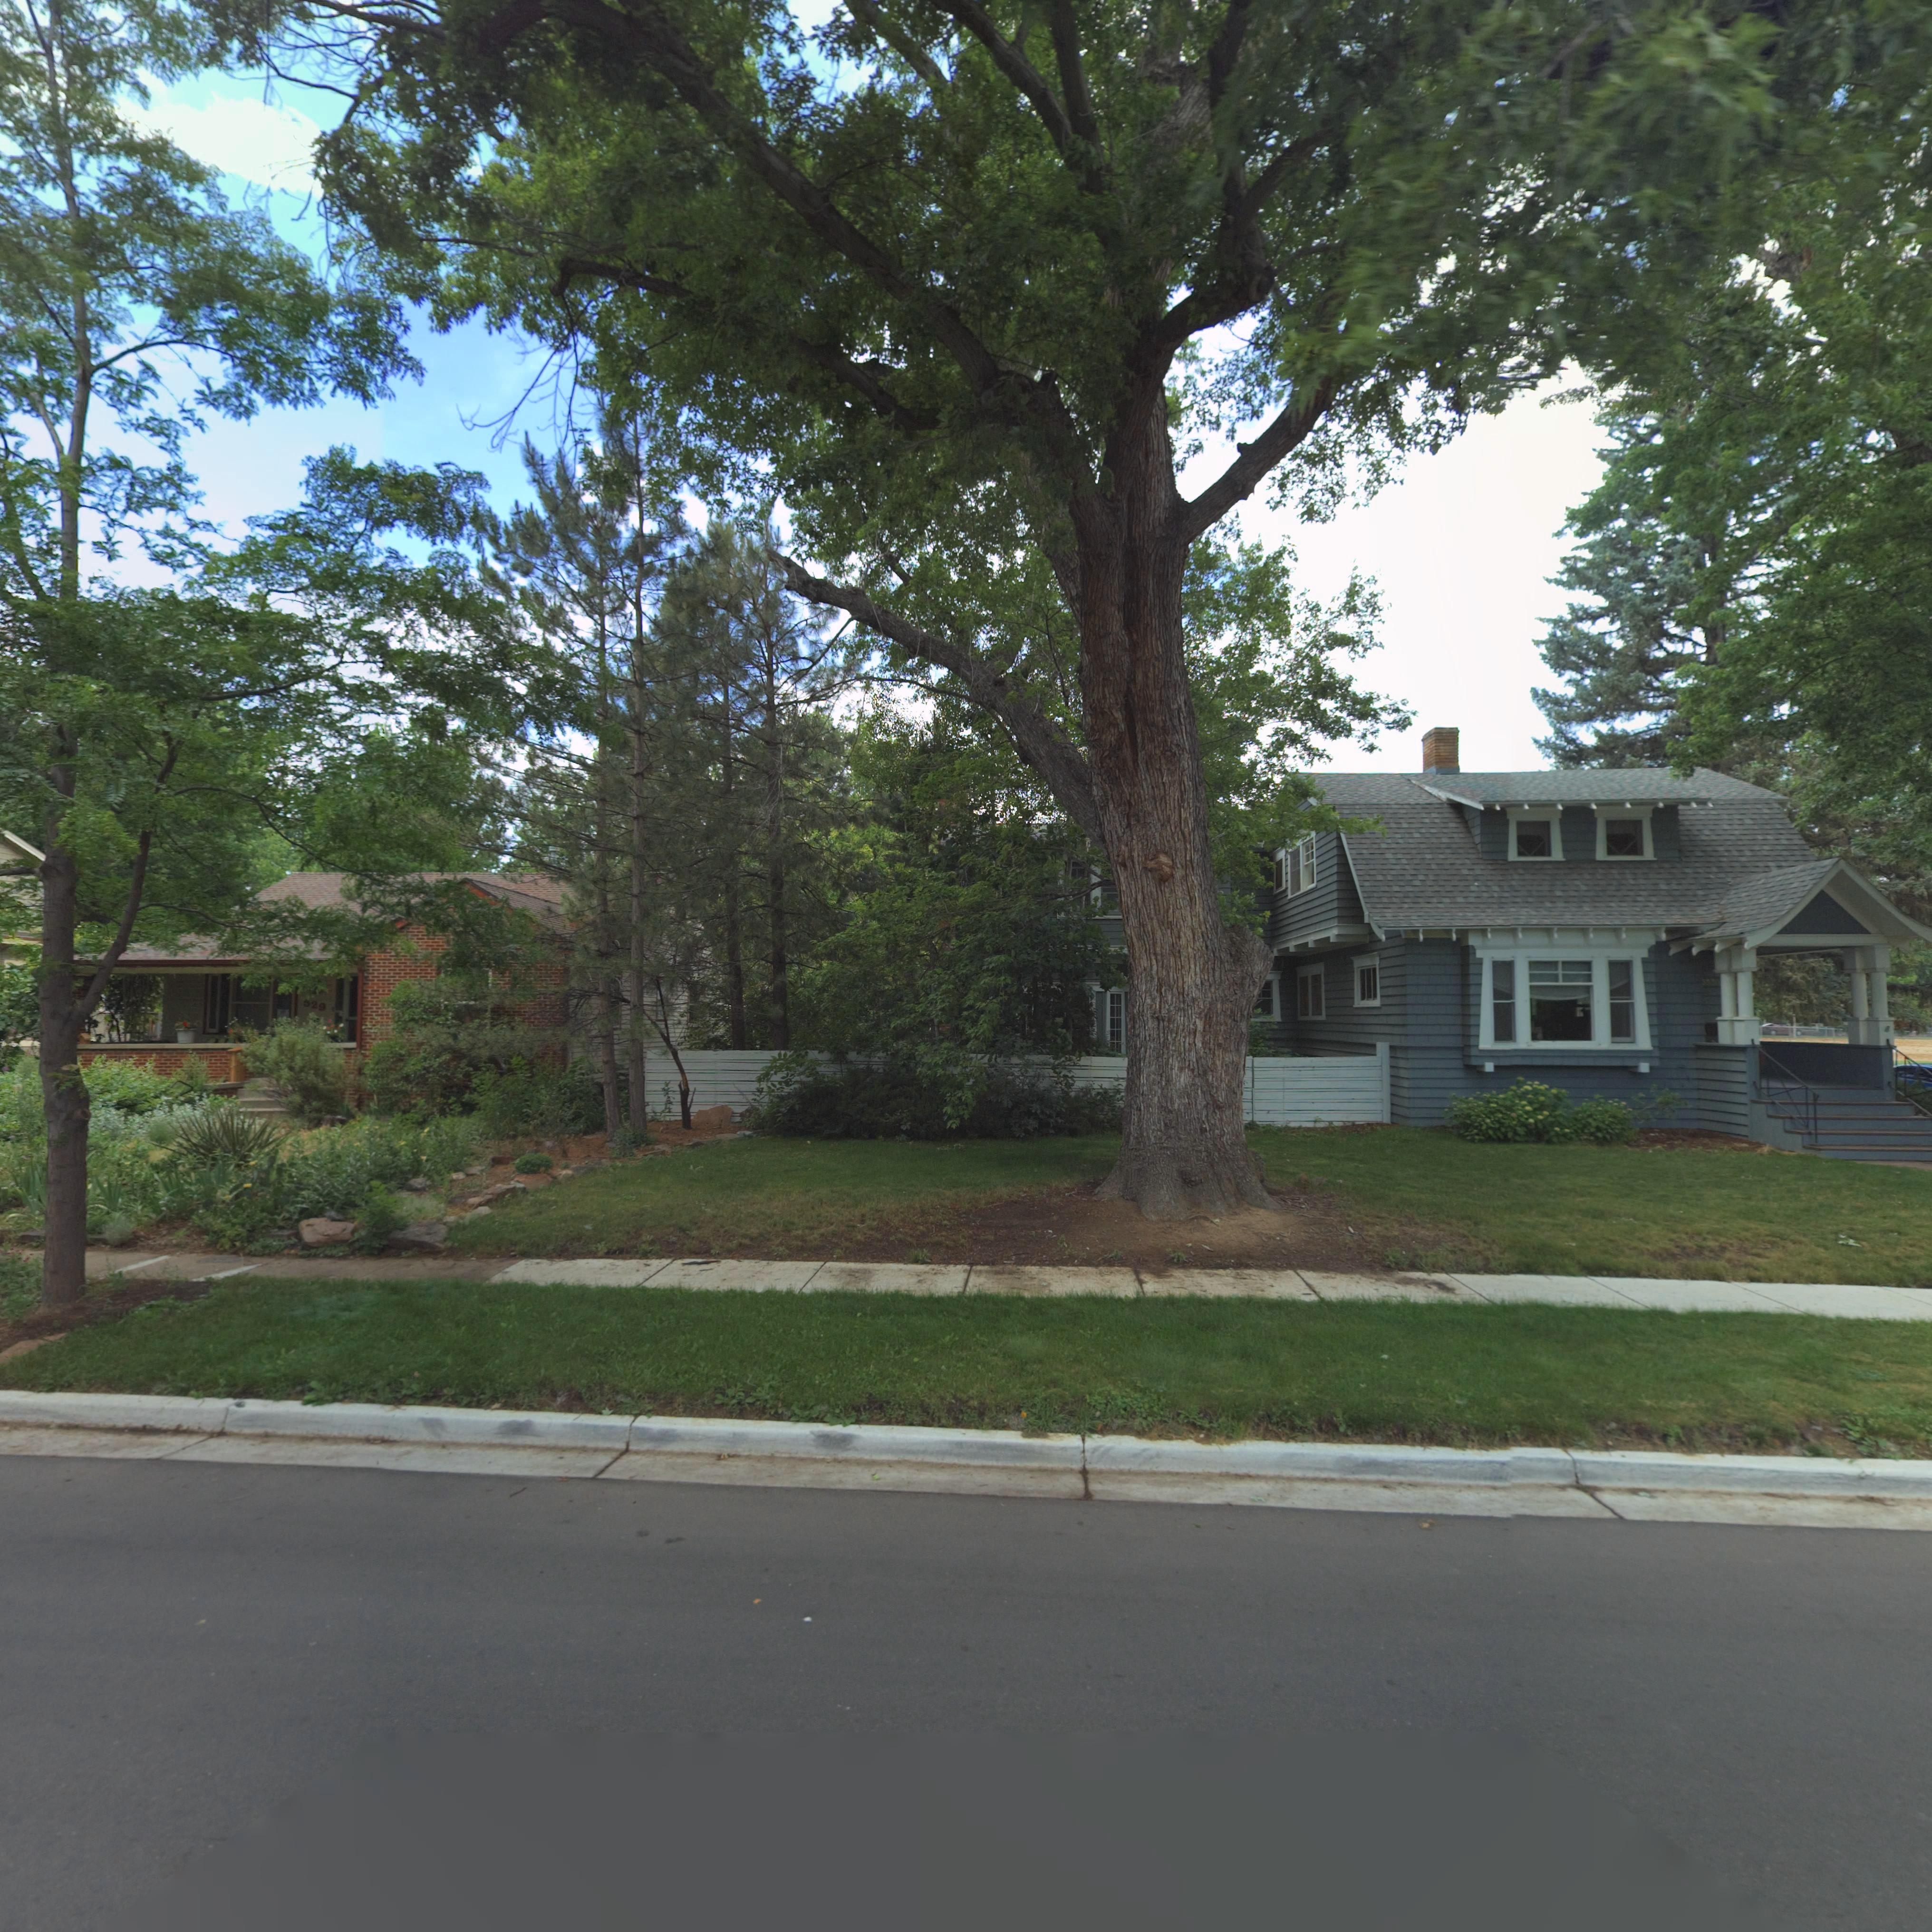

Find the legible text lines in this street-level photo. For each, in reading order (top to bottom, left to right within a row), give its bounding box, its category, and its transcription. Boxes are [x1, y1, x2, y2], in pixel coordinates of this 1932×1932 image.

[303, 998, 326, 1012] StreetNumber: 529